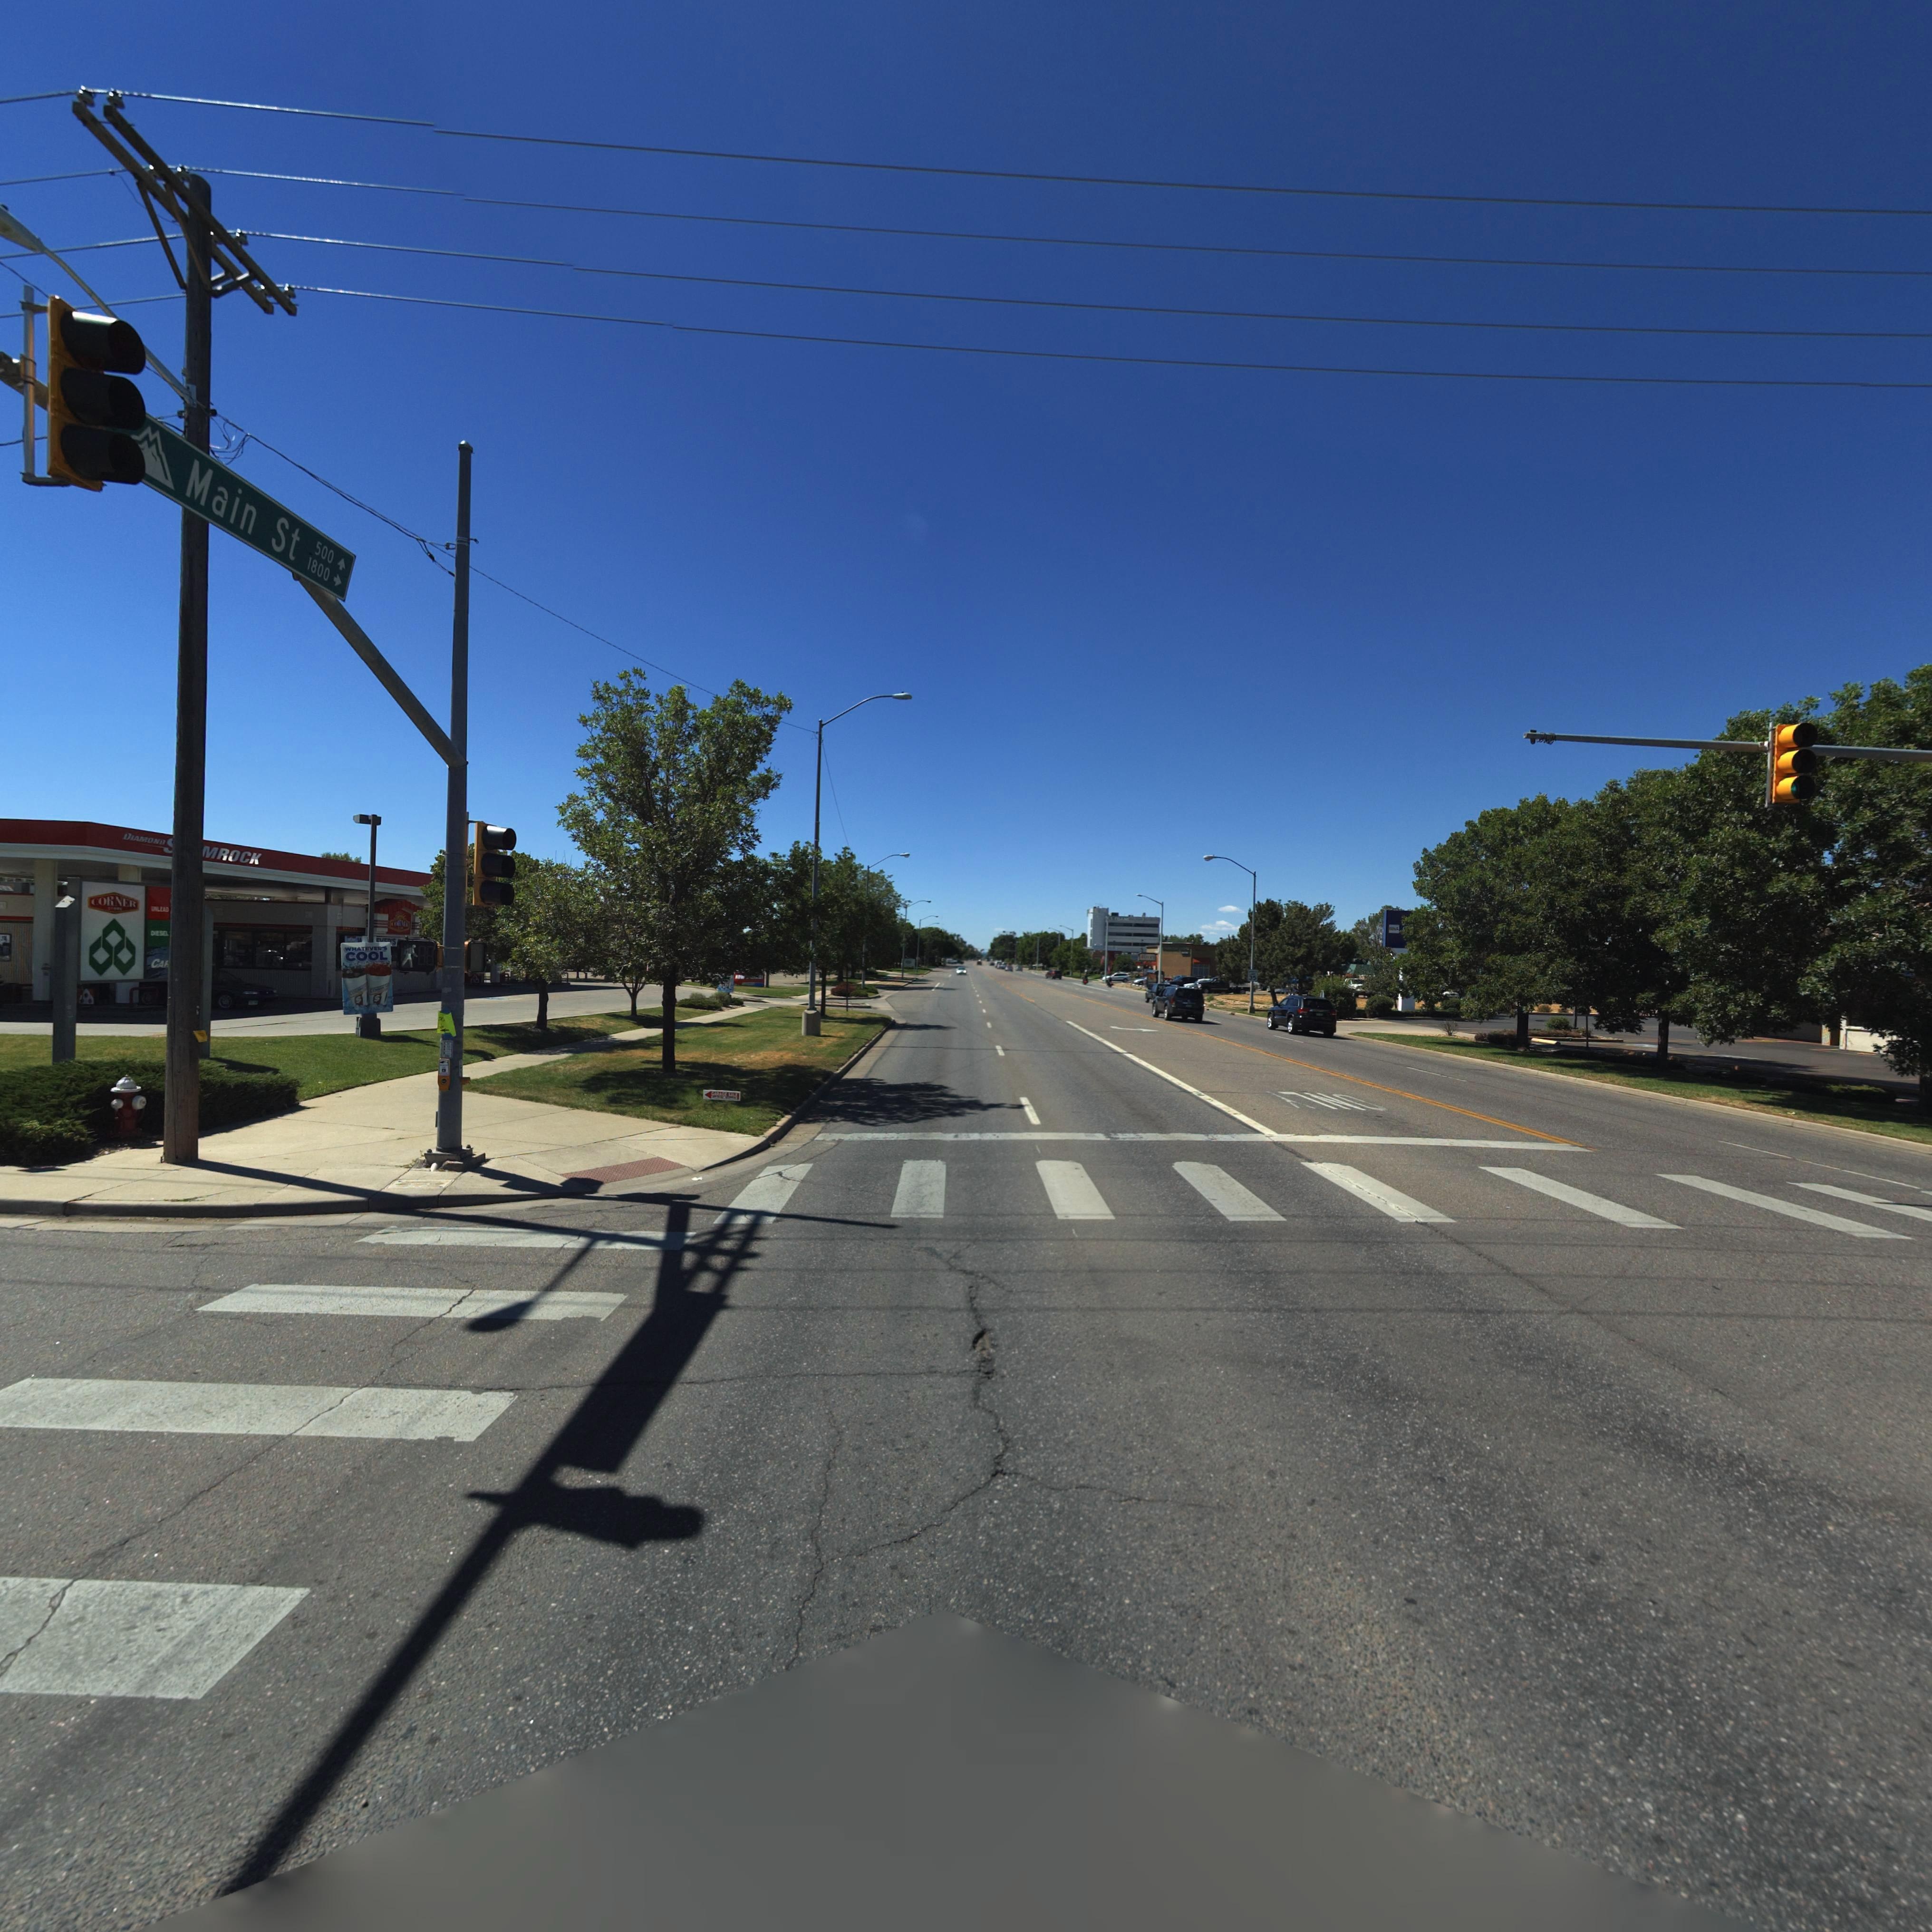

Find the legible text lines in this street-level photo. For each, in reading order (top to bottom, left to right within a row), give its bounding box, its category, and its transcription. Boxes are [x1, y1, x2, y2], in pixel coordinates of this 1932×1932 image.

[183, 456, 301, 562] StreetName: Main St
[313, 540, 334, 564] StreetNumberRange: 500
[307, 555, 343, 587] StreetNumberRange: 1800->
[123, 831, 167, 846] BusinessName: DIAMOND
[163, 837, 262, 865] BusinessName: ***MROCK
[90, 895, 137, 908] BusinessName: CORNER
[391, 919, 409, 927] BusinessName: CORNER
[1110, 917, 1130, 920] BusinessName: 1**BAN*